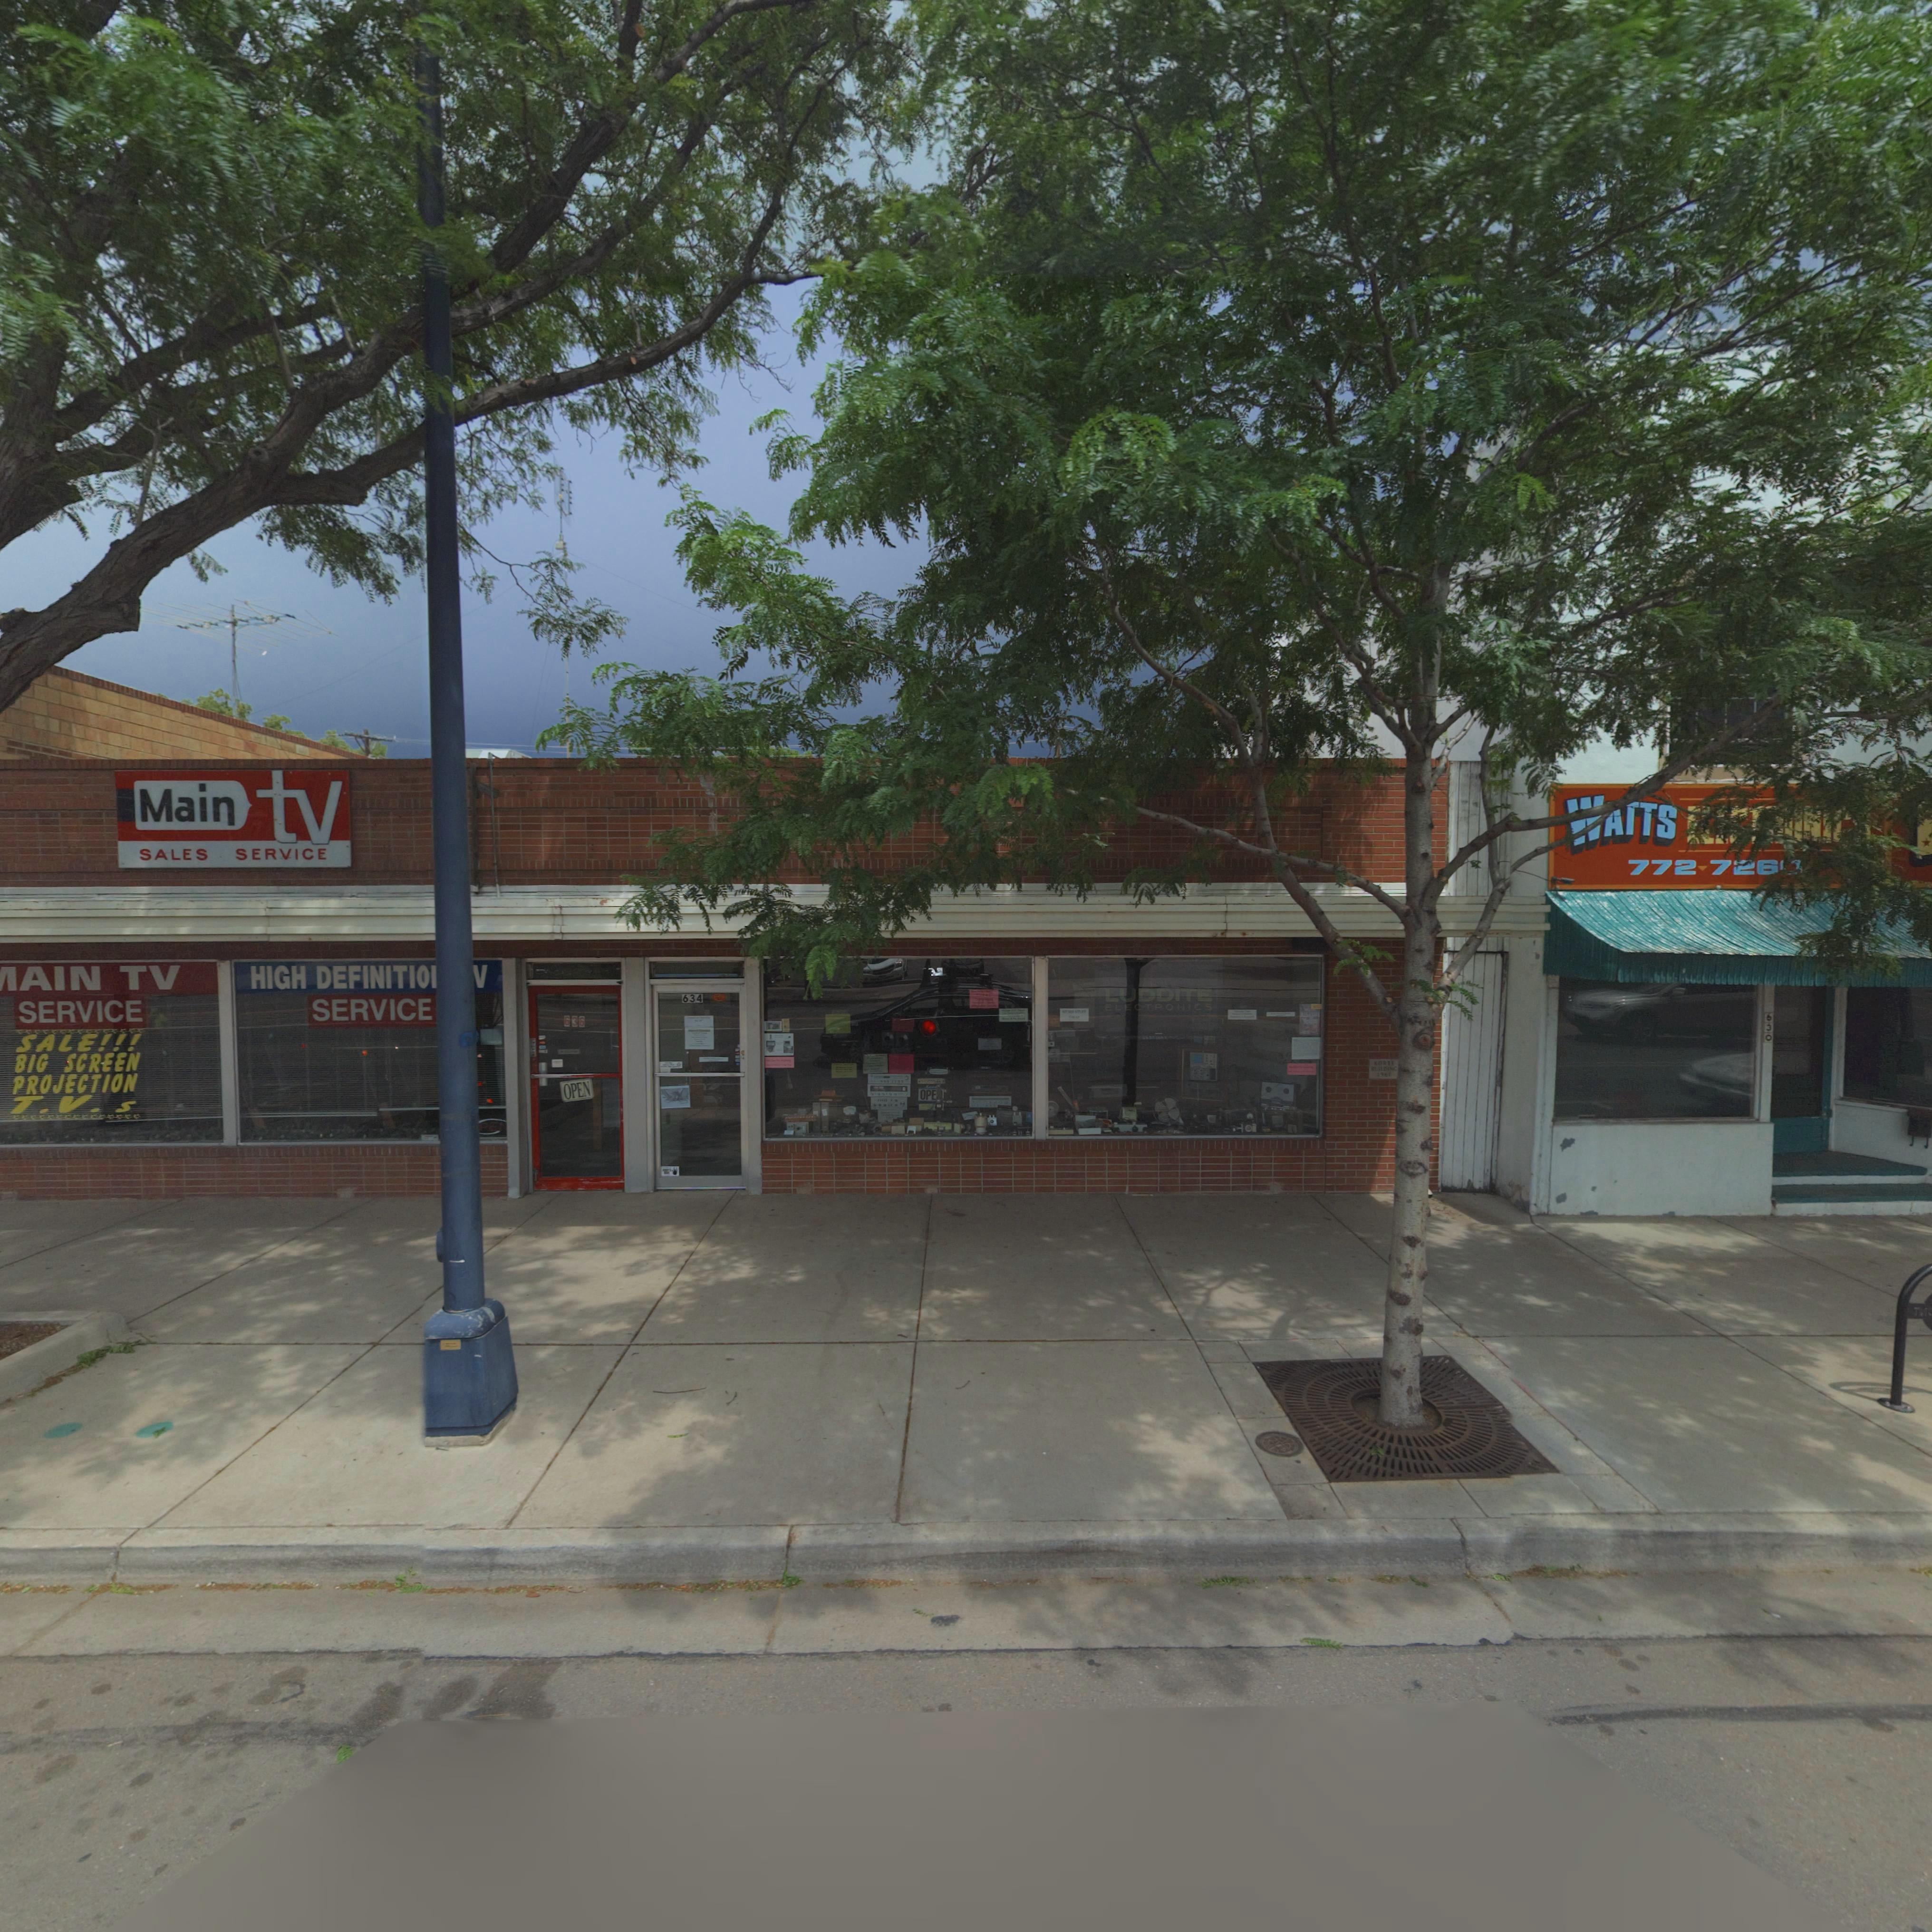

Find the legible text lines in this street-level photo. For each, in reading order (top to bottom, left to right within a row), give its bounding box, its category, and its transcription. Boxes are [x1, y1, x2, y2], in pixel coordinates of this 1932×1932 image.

[139, 782, 235, 826] BusinessName: Main
[255, 768, 345, 845] BusinessName: tv
[1564, 792, 1679, 848] StreetNumber: **TTS
[17, 965, 184, 992] BusinessName: AIN TV
[682, 994, 702, 1003] StreetNumber: 634
[1104, 1002, 1212, 1011] BusinessName: ELECTRONICS
[1103, 986, 1214, 1004] BusinessName: LUDDITE
[563, 1015, 585, 1026] StreetNumber: 636
[1764, 1012, 1772, 1042] StreetNumber: 630